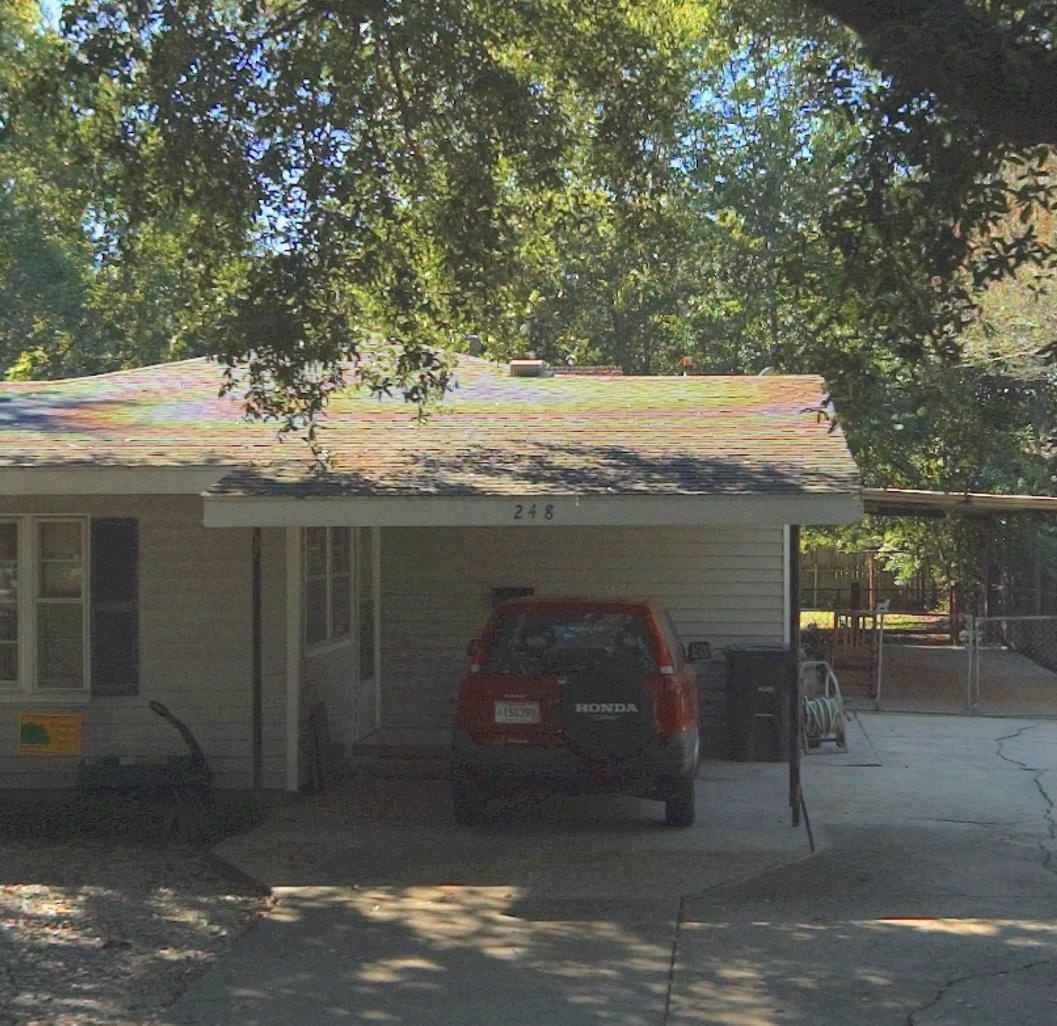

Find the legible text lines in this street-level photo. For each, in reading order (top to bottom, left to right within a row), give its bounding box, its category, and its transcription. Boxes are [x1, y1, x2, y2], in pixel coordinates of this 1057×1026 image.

[512, 503, 555, 521] StreetNumber: 248
[502, 706, 537, 719] None: 15*390
[572, 701, 643, 714] None: HONDA